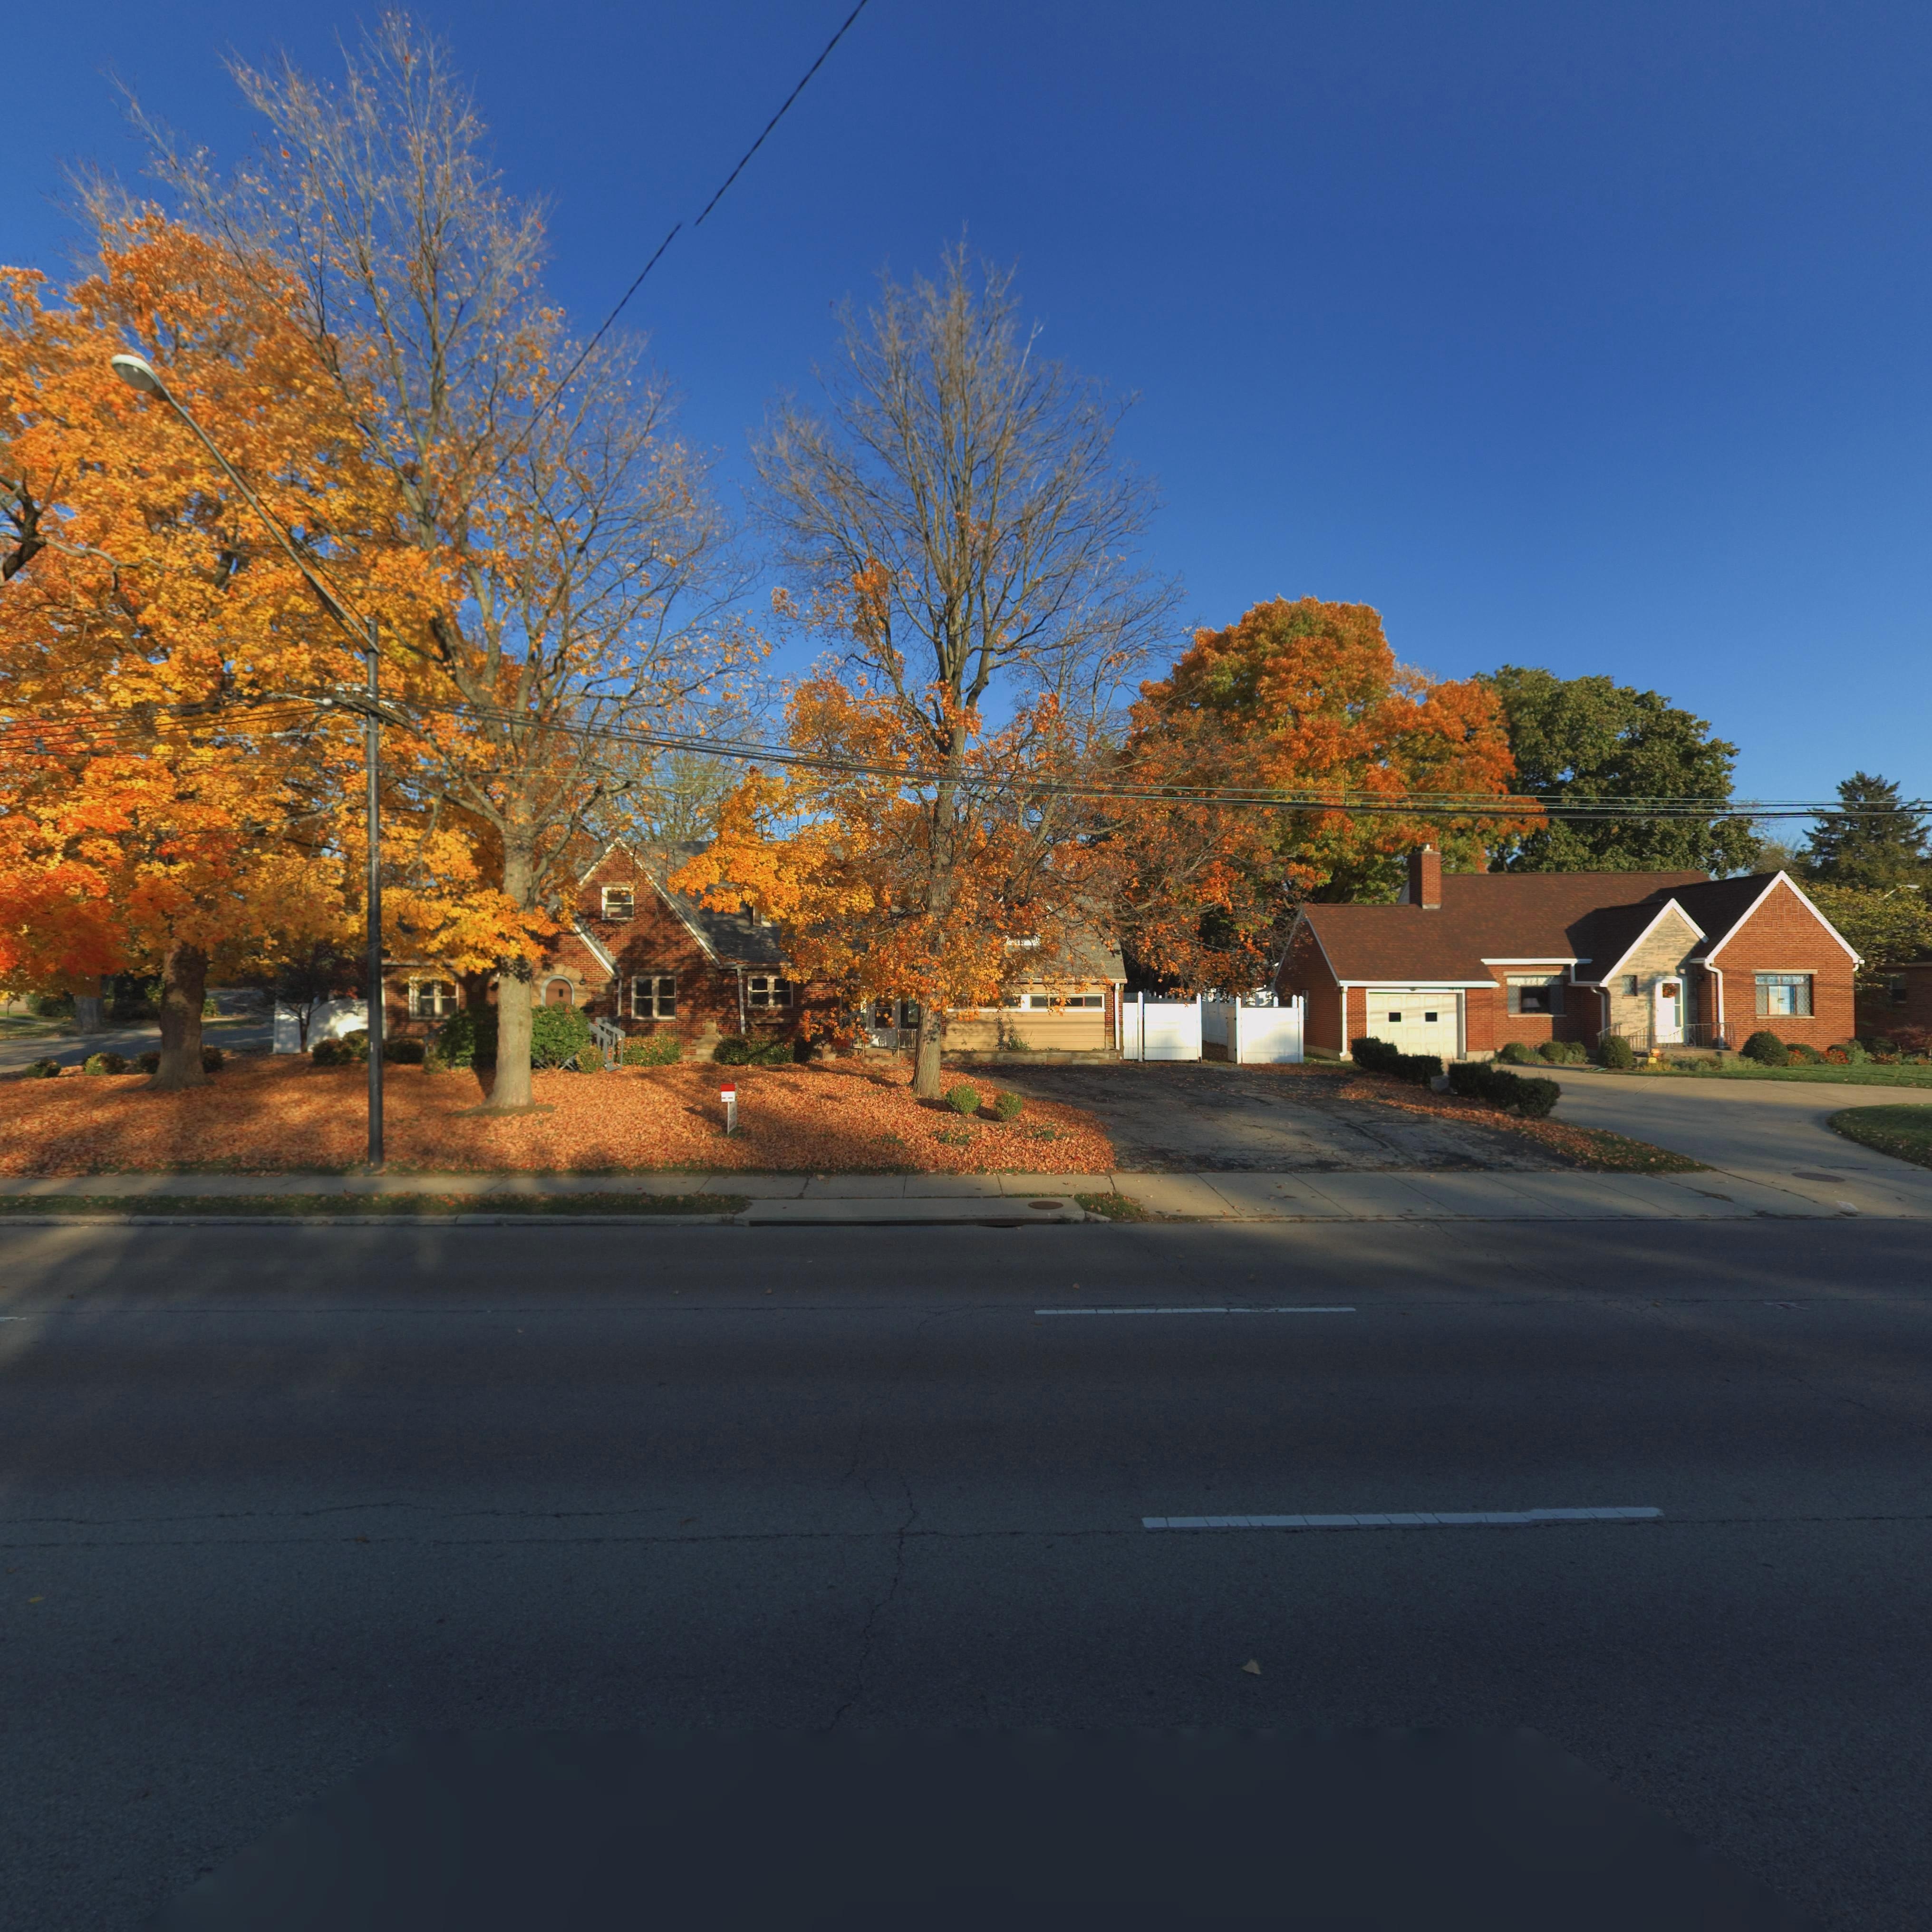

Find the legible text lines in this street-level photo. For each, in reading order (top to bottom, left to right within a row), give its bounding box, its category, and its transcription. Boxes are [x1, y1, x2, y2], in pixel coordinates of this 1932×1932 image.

[1447, 987, 1463, 993] StreetNumber: 3***